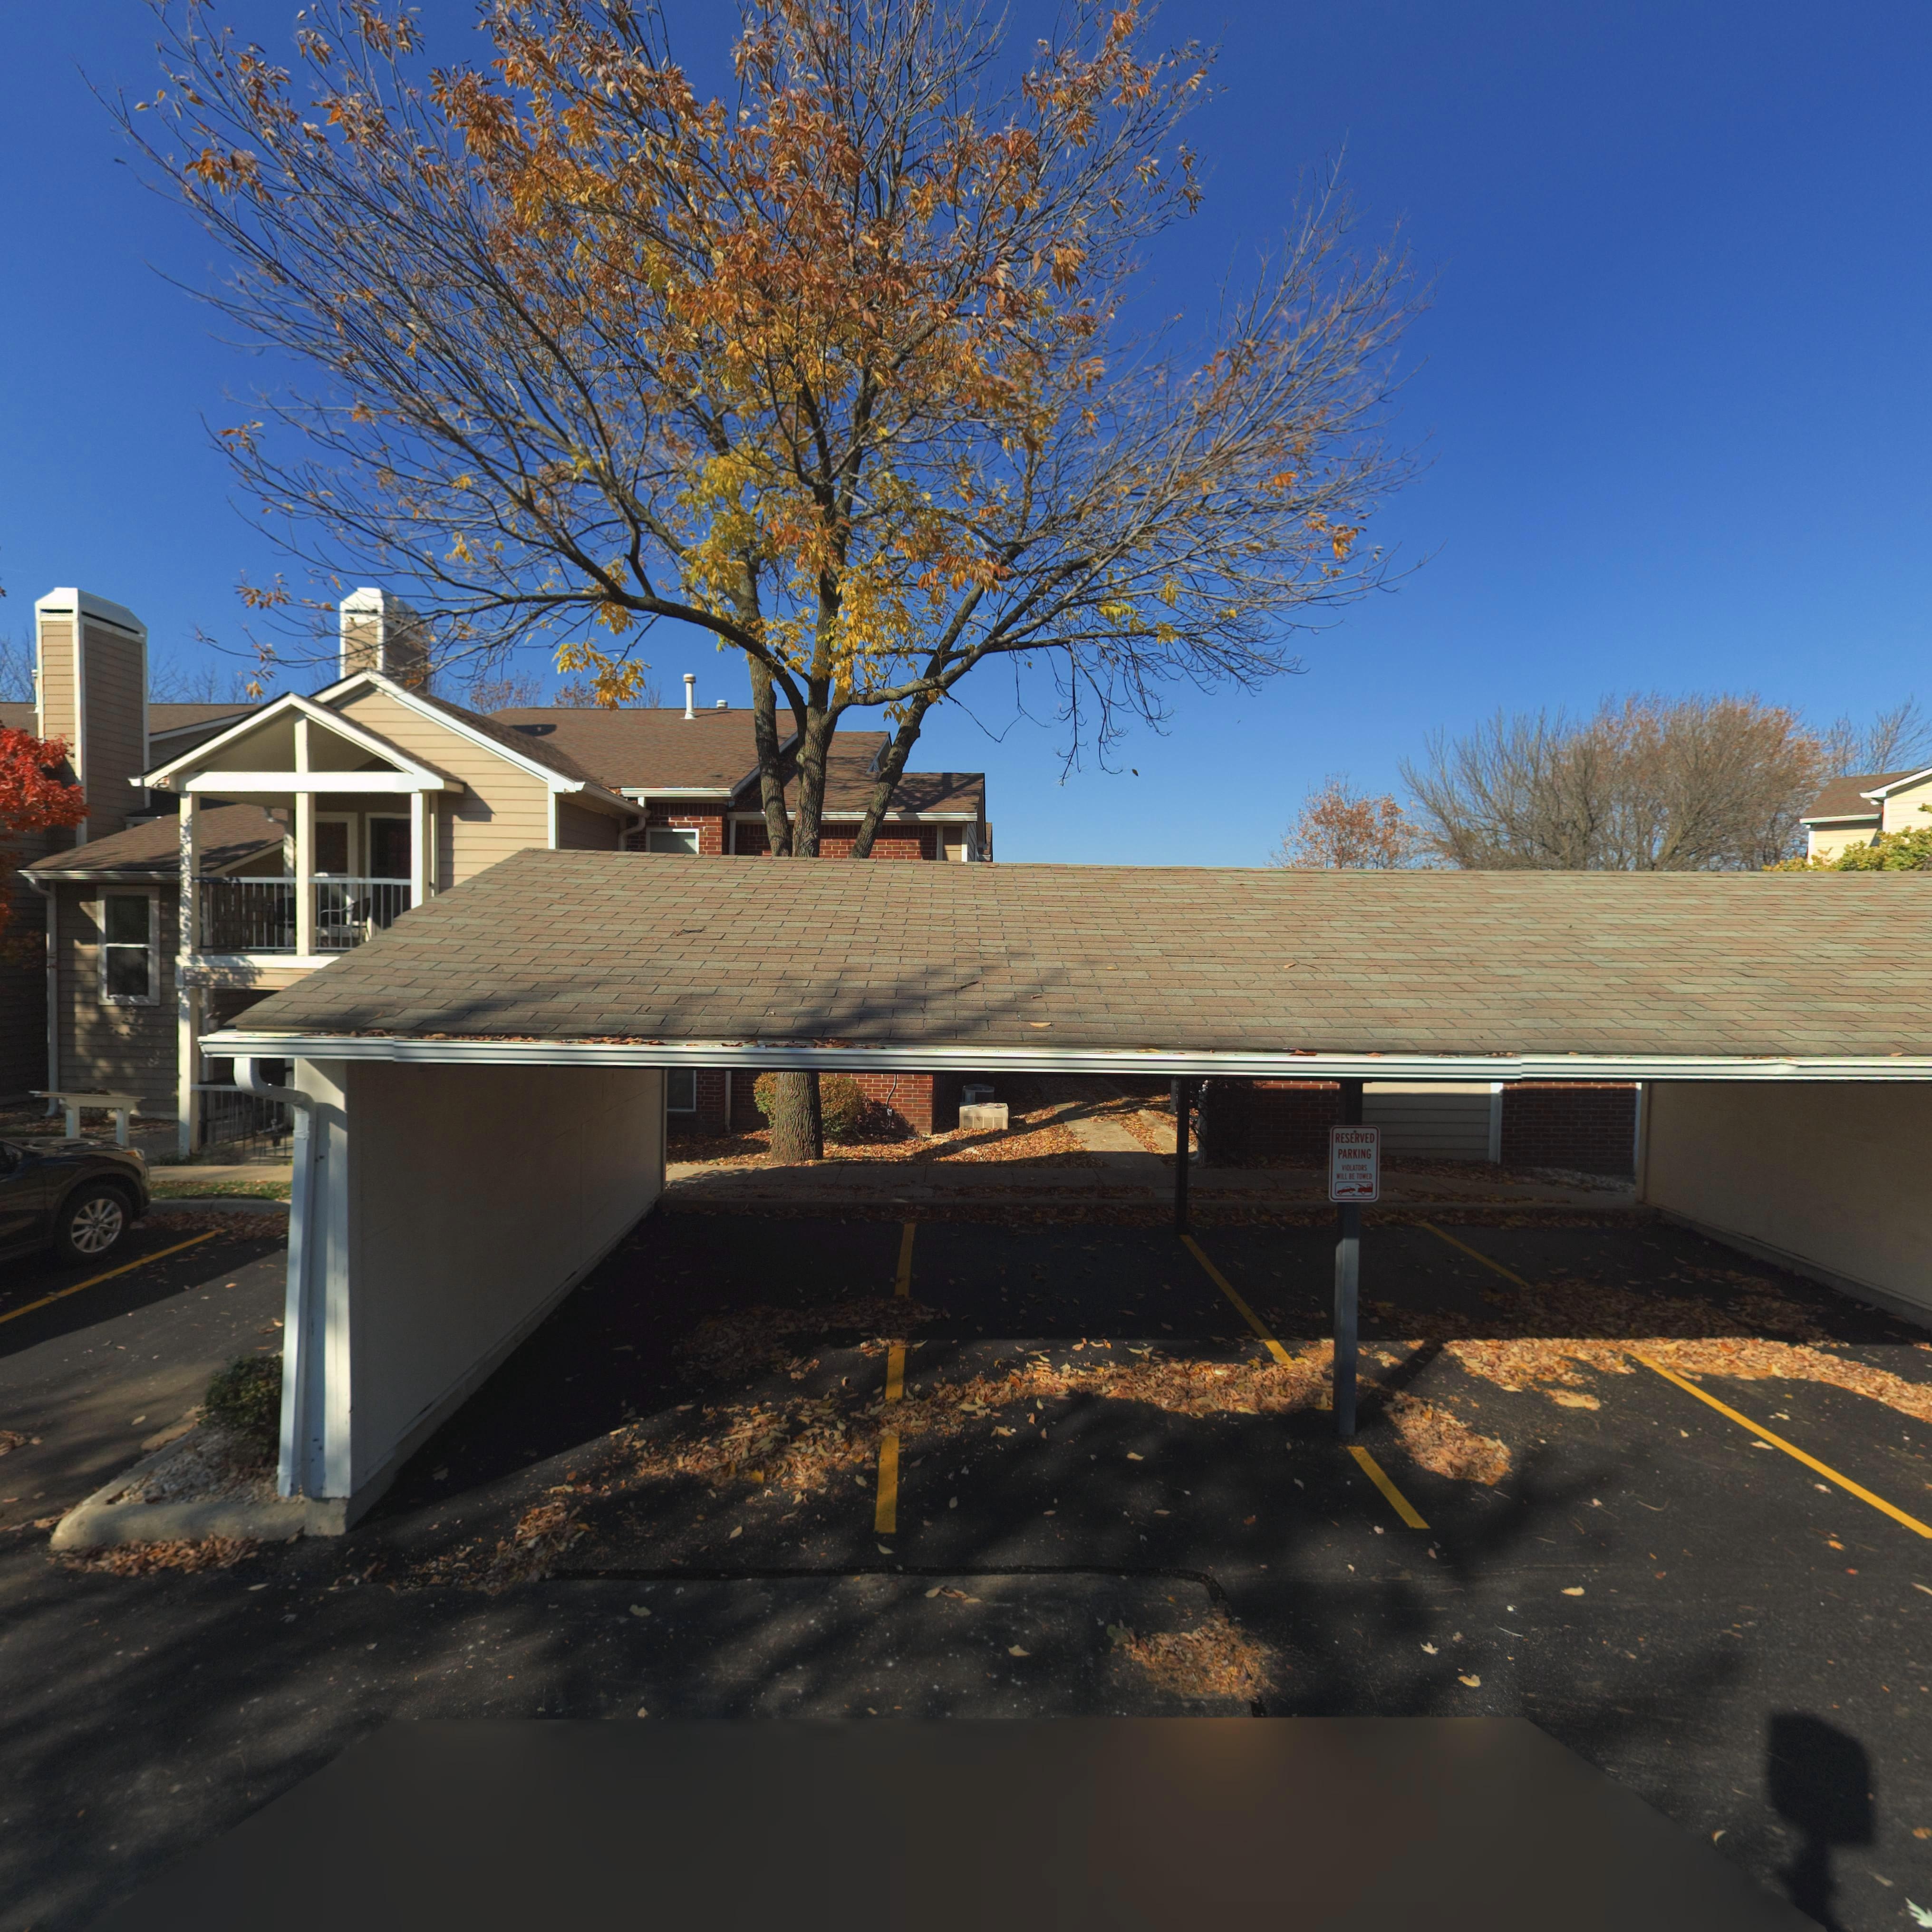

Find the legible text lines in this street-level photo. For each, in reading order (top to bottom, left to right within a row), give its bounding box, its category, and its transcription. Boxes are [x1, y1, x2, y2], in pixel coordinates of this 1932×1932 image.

[1334, 1132, 1375, 1144] None: RESERVED
[1337, 1148, 1372, 1160] None: PARKING
[1340, 1163, 1368, 1172] None: VIOLATORS
[1335, 1172, 1373, 1180] None: WILL BE TOWED